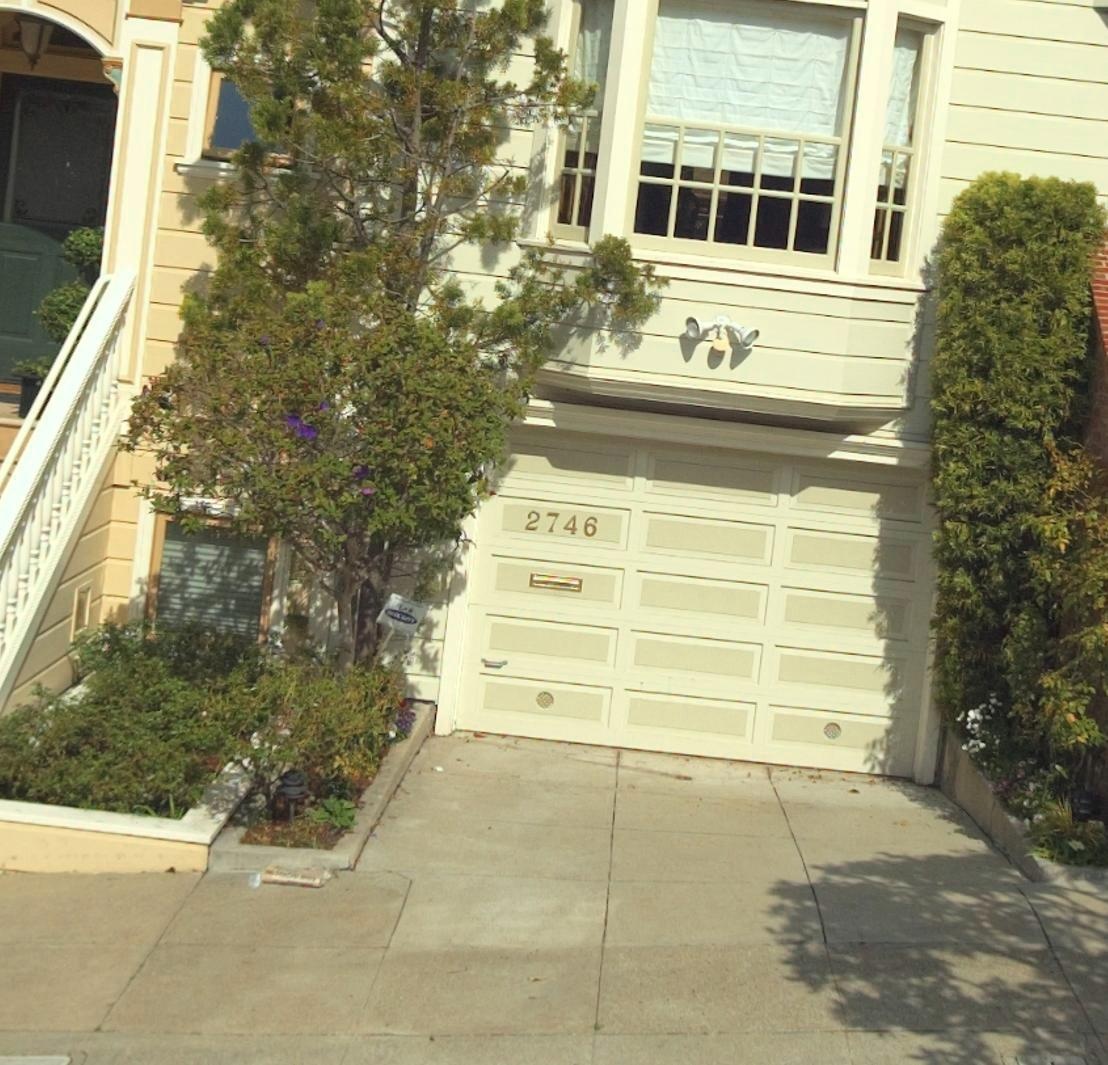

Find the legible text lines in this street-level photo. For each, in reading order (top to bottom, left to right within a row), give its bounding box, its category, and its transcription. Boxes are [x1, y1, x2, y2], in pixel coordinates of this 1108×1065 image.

[522, 507, 601, 540] StreetNumber: 2746